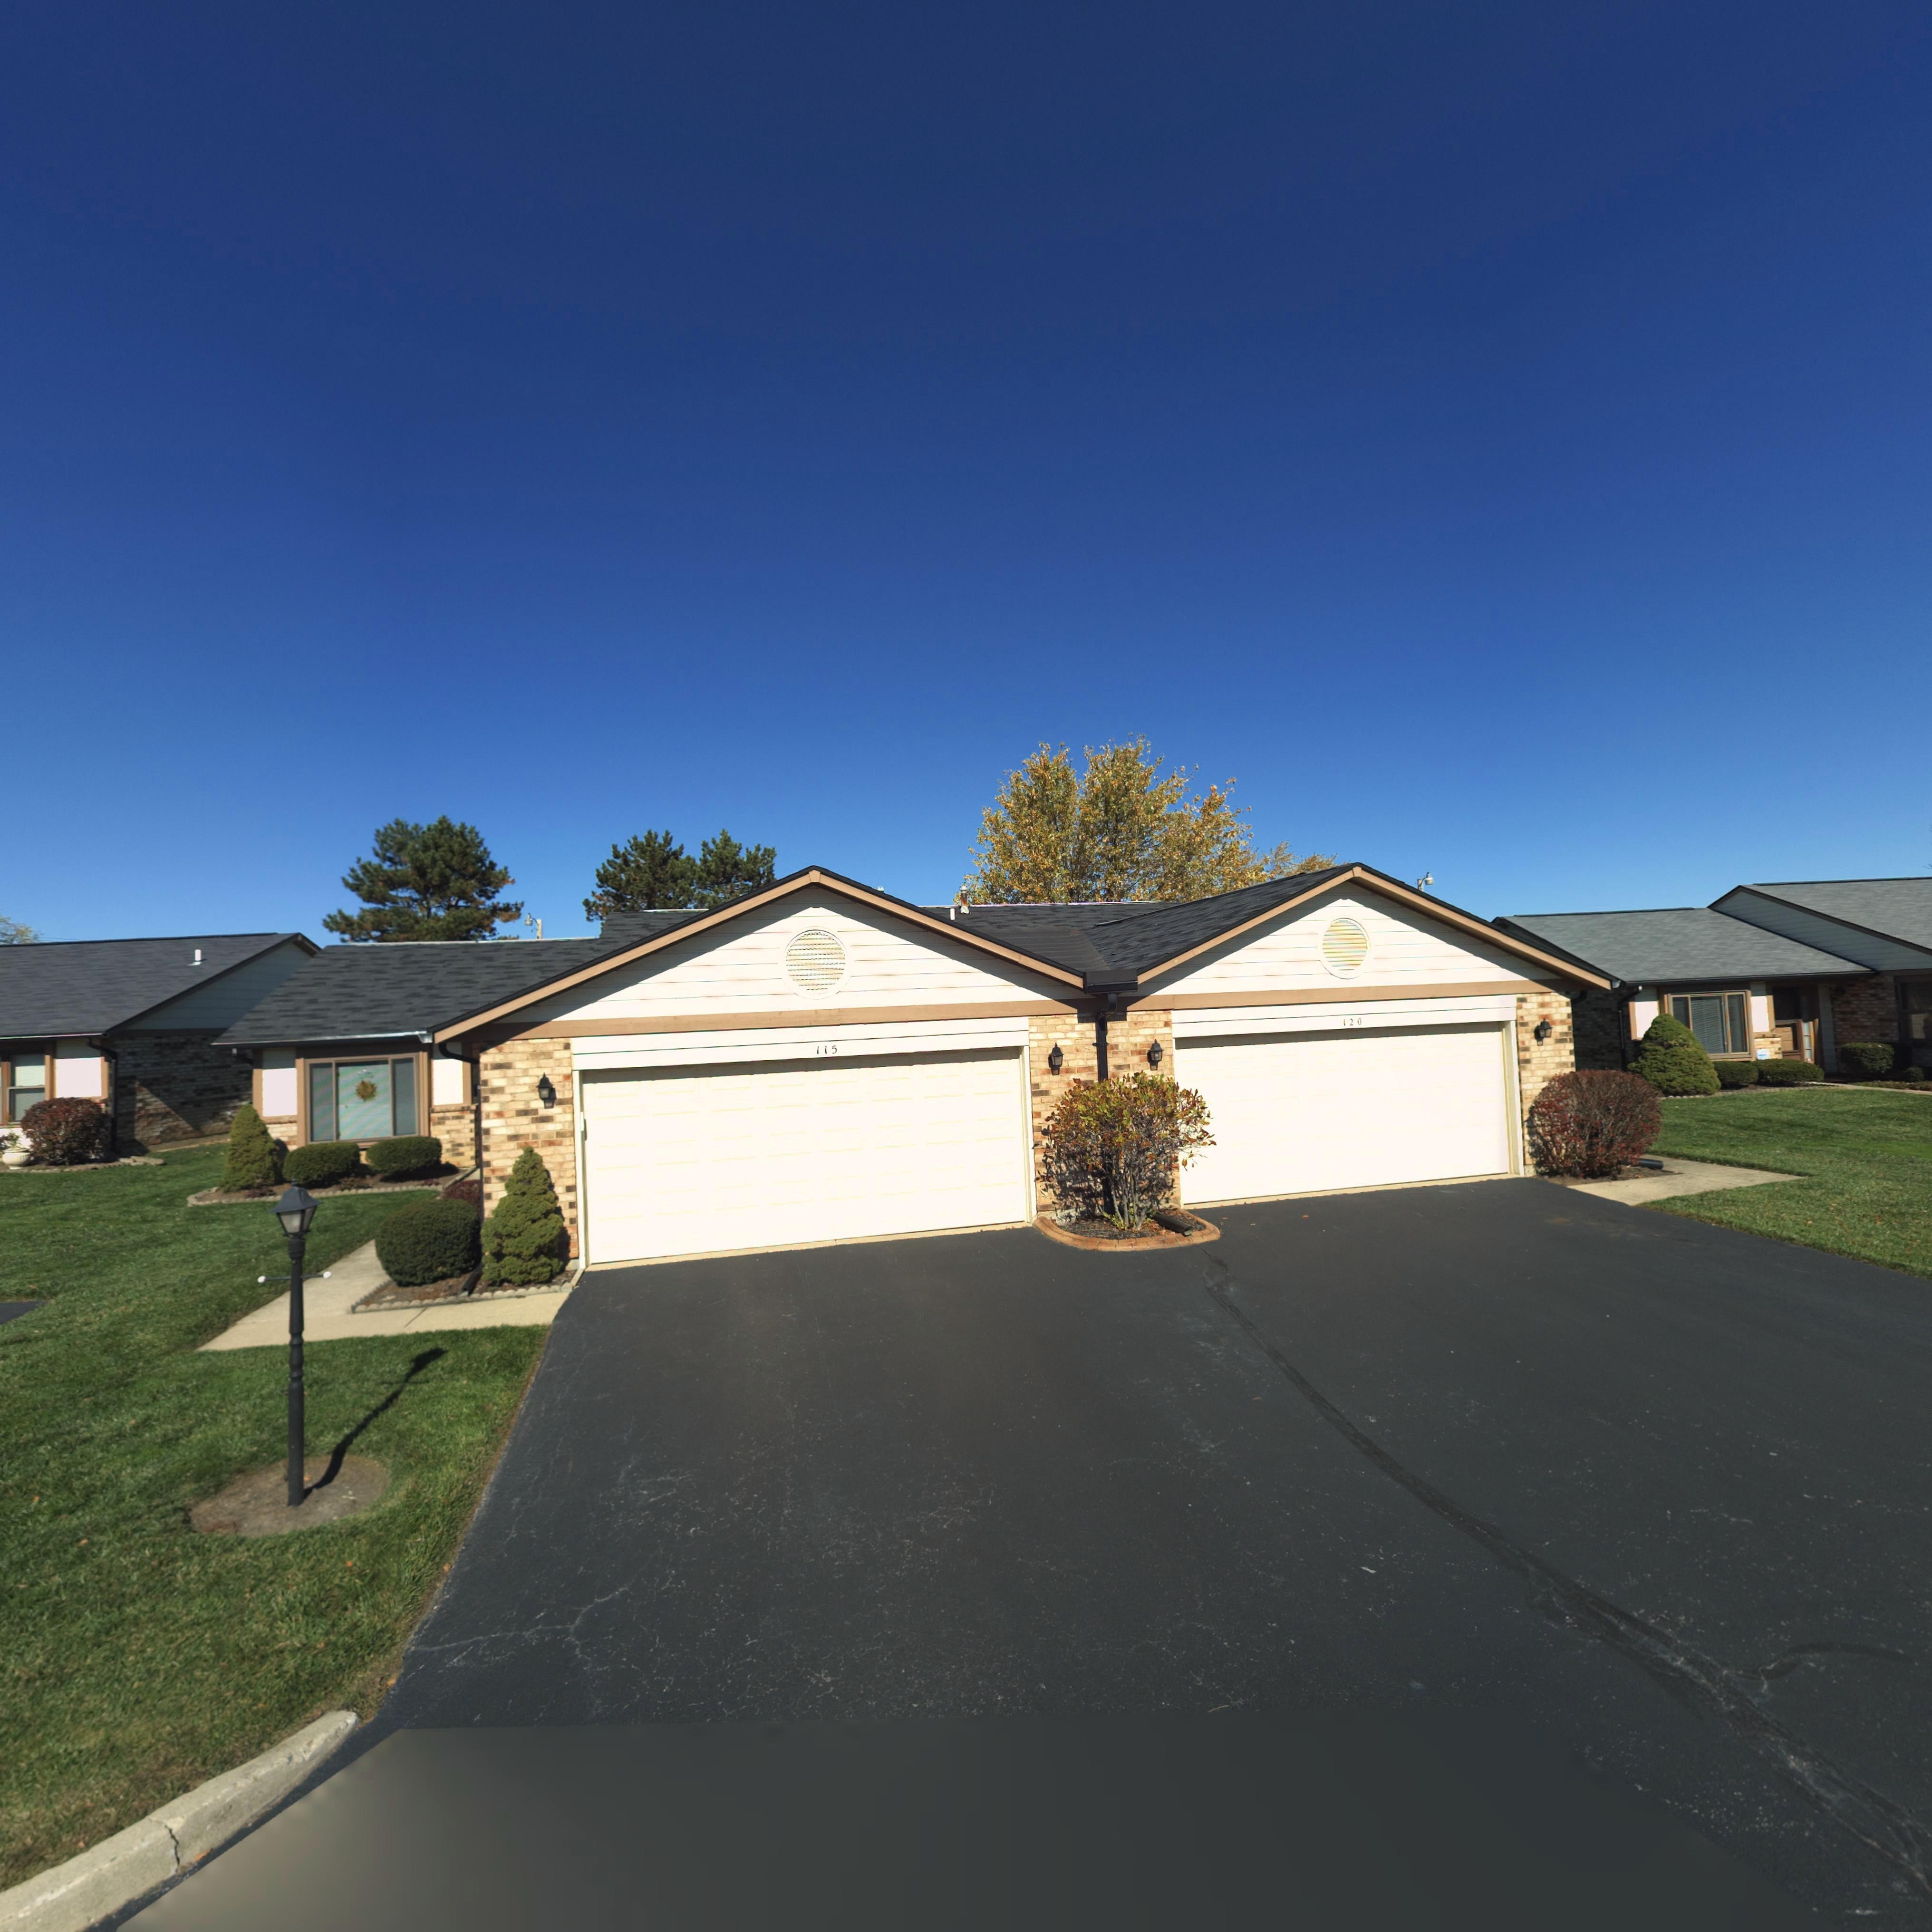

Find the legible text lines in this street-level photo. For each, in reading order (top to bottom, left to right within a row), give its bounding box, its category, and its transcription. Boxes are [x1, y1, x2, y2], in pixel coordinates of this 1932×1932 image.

[1342, 1015, 1363, 1028] StreetNumber: 120
[815, 1043, 839, 1057] StreetNumber: 115